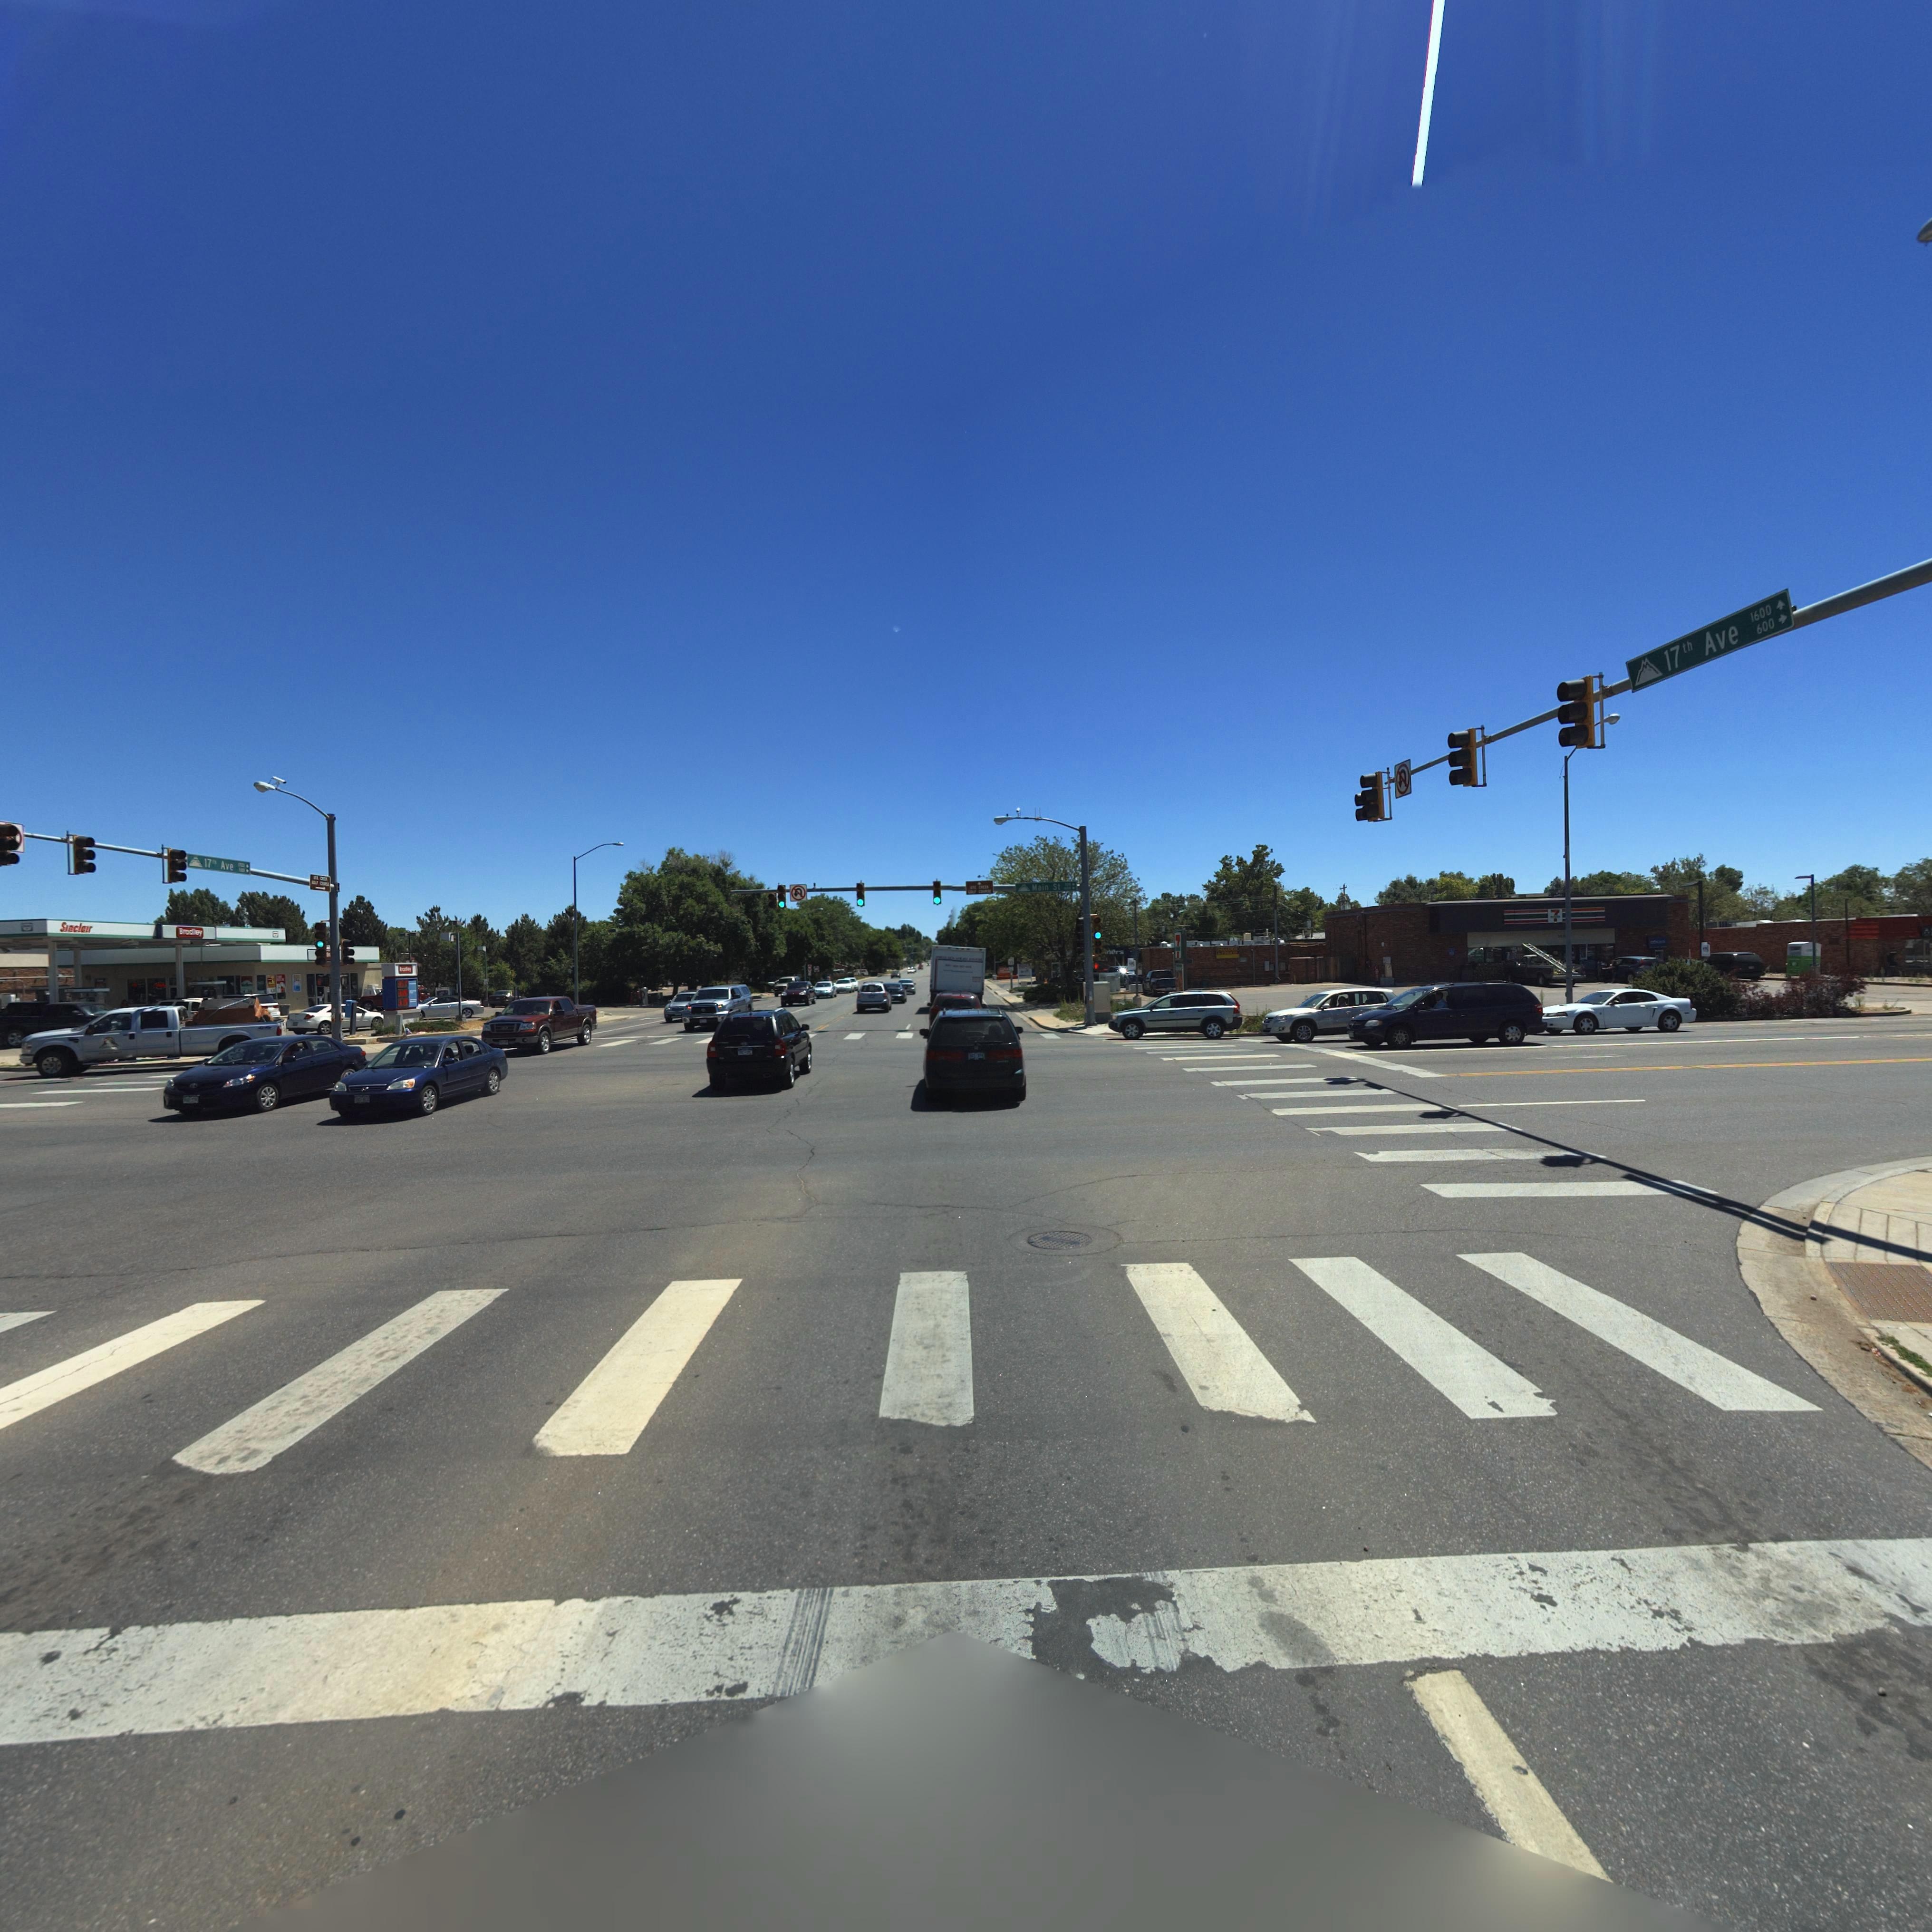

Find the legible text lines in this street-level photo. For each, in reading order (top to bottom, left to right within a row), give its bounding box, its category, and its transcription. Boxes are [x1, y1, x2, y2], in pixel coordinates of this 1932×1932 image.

[1749, 603, 1772, 623] StreetNumberRange: 1600
[1756, 613, 1788, 636] StreetNumberRange: 600->
[1662, 625, 1740, 673] StreetName: 17th Ave
[203, 858, 234, 870] StreetName: 17th Ave
[238, 862, 245, 867] StreetNumberRange: 1700
[238, 868, 250, 872] StreetNumberRange: *00->
[1032, 883, 1061, 891] StreetName: Main St
[1064, 882, 1071, 886] StreetNumberRange: *00
[1063, 886, 1075, 889] StreetNumberRange: 1600->
[1550, 909, 1560, 922] BusinessName: 7
[59, 921, 94, 933] BusinessName: Sinclair
[178, 927, 203, 937] BusinessName: Bradley
[1174, 934, 1180, 958] BusinessName: 7
[1106, 948, 1124, 954] BusinessName: ners
[399, 966, 412, 973] BusinessName: Bradley